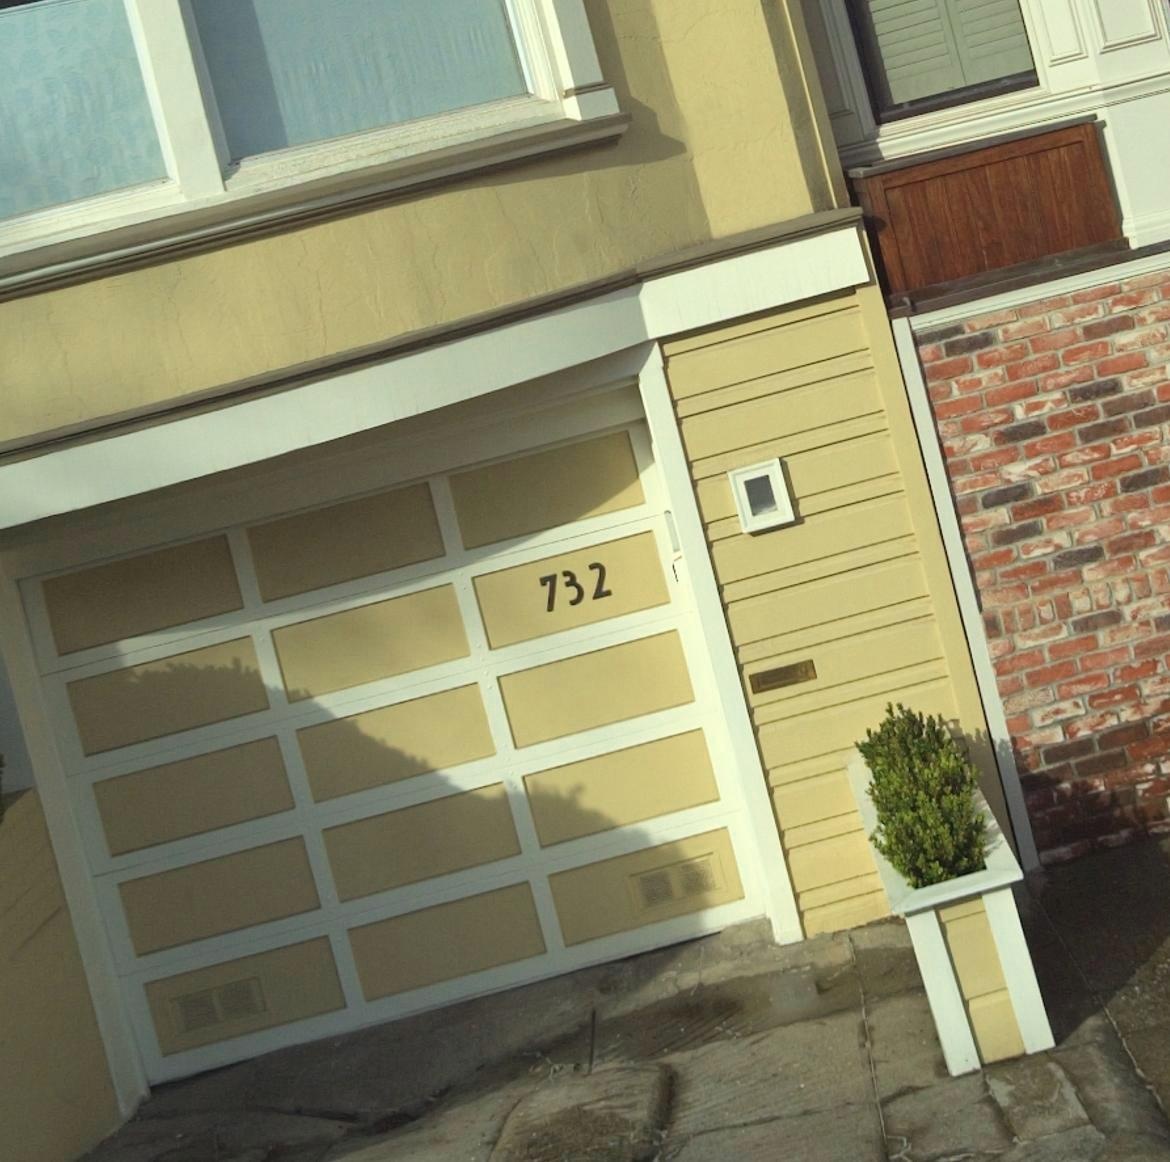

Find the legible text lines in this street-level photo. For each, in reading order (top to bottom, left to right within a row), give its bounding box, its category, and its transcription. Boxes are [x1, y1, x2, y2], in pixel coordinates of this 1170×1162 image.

[538, 559, 615, 616] StreetNumber: 732